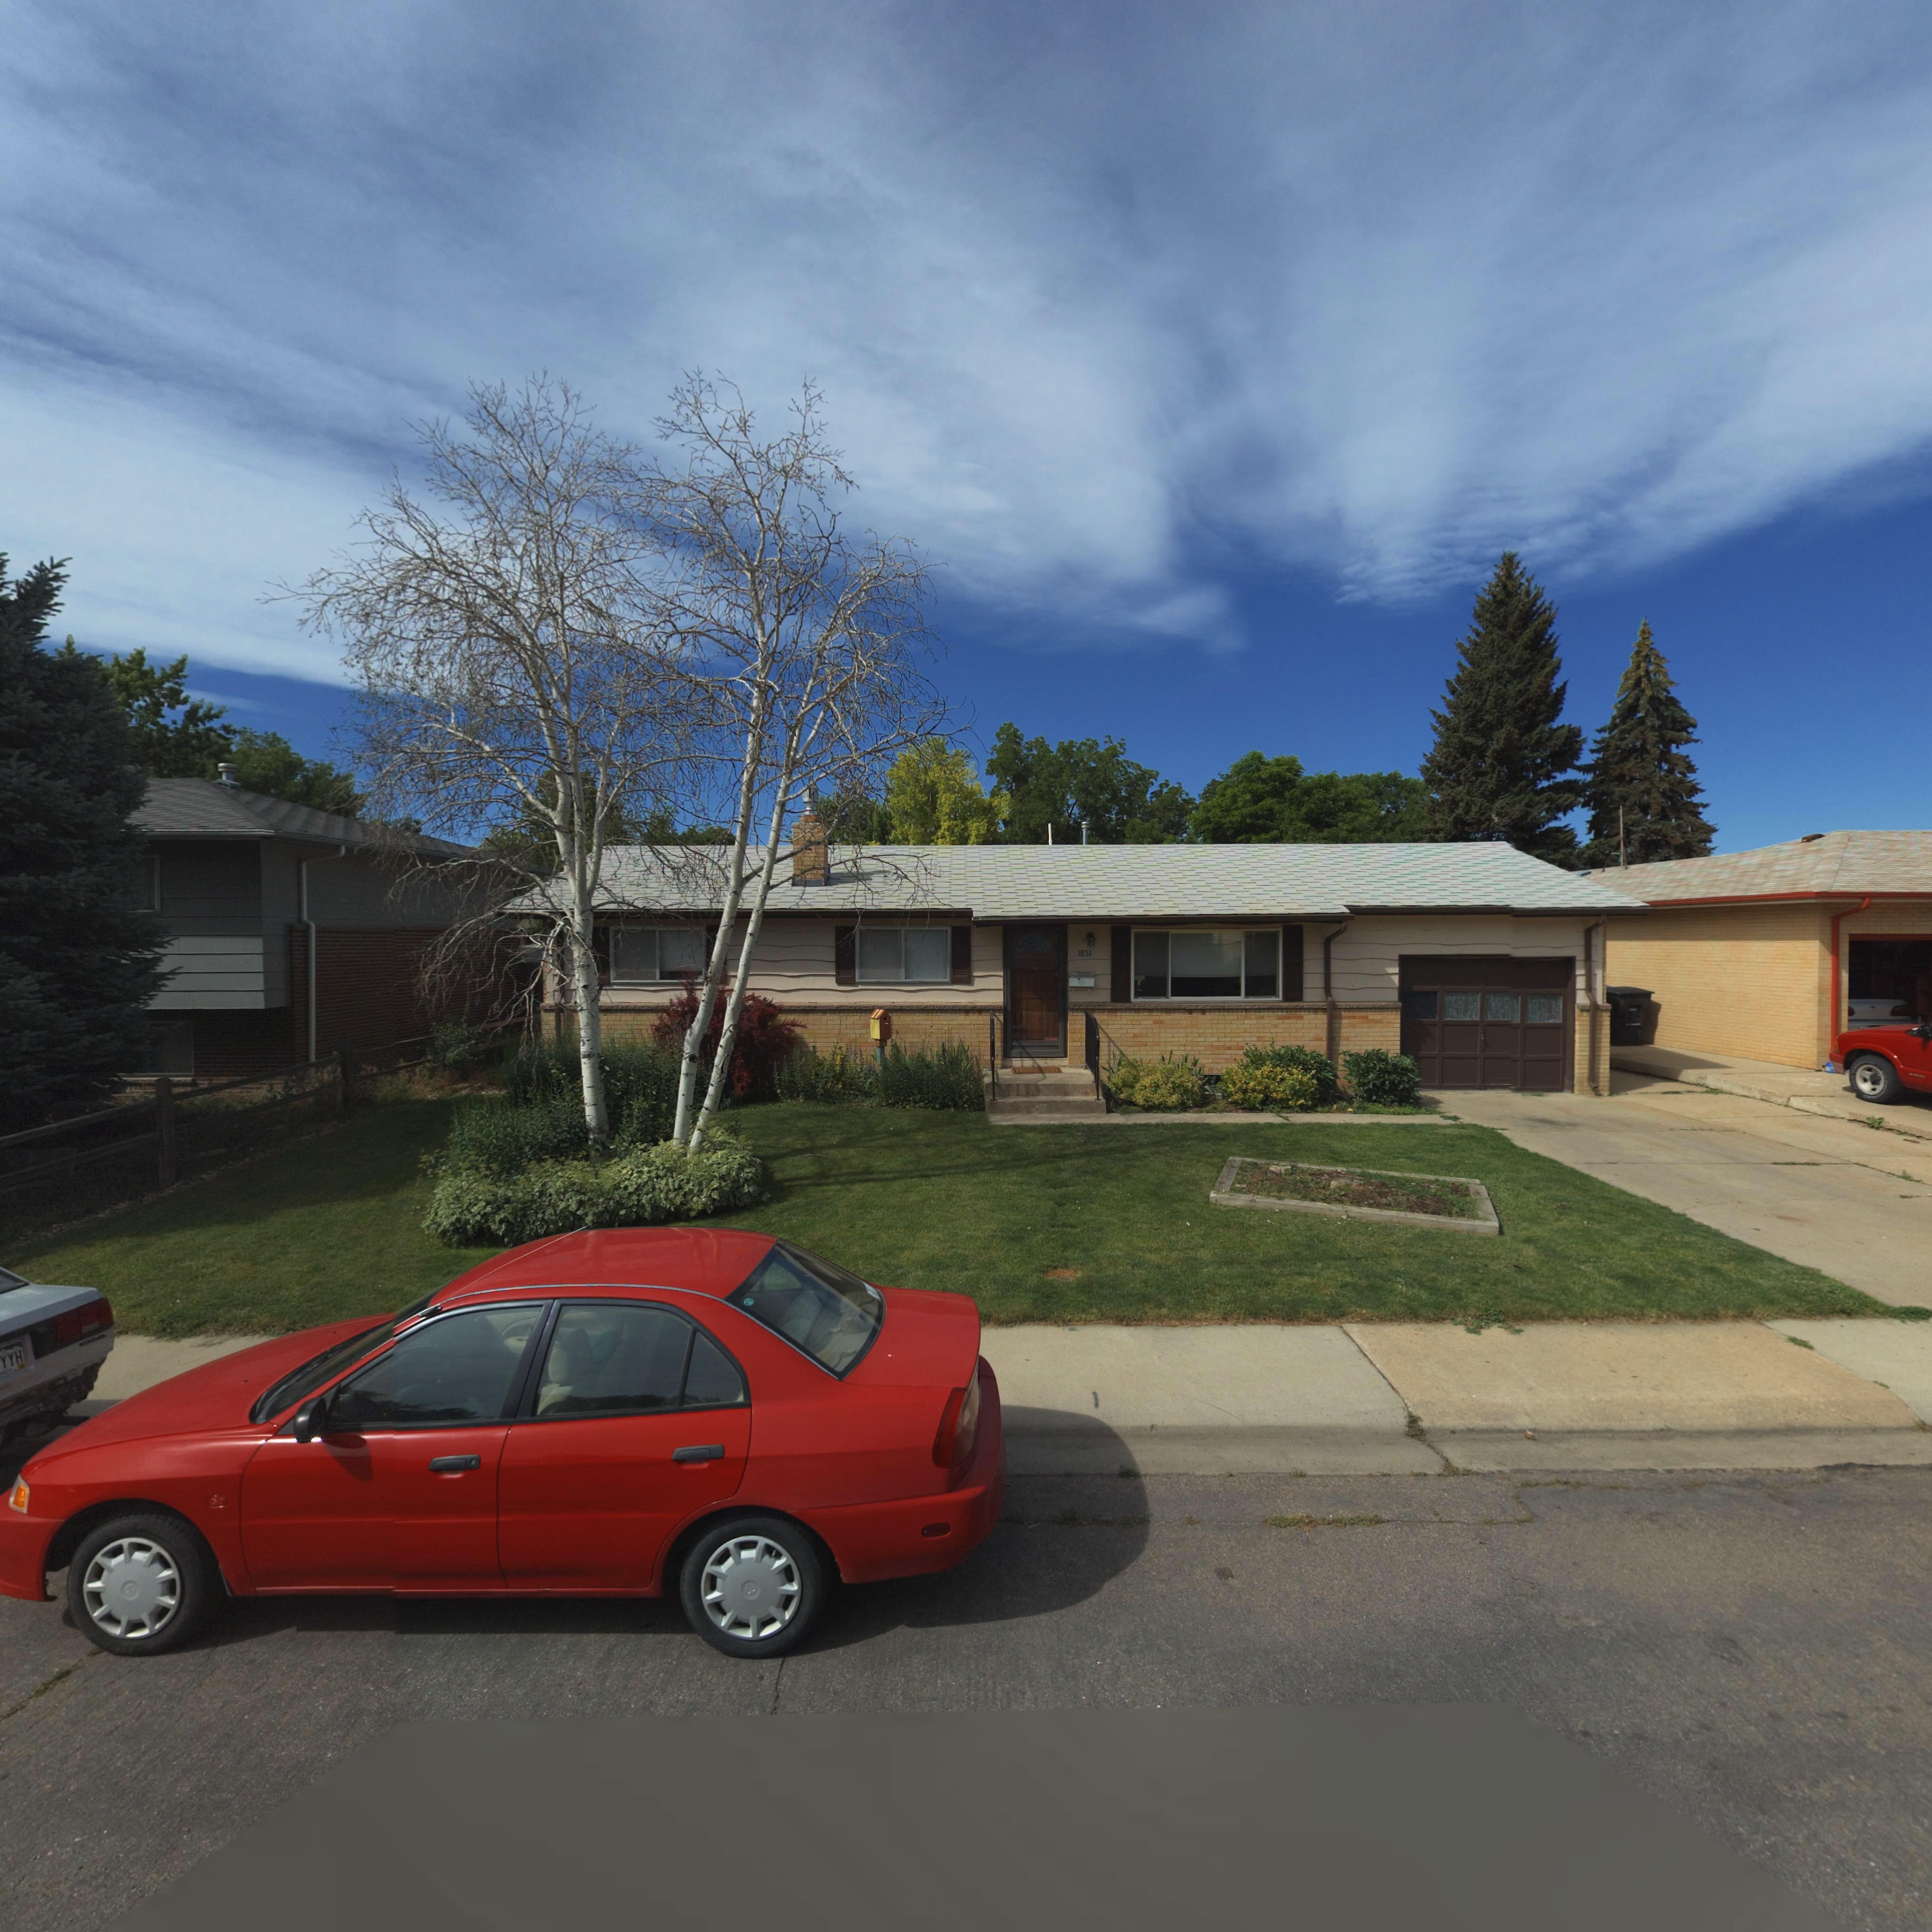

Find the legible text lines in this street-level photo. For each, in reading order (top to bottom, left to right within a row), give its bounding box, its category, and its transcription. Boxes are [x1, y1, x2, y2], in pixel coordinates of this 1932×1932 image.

[1078, 949, 1091, 957] StreetNumber: 1851